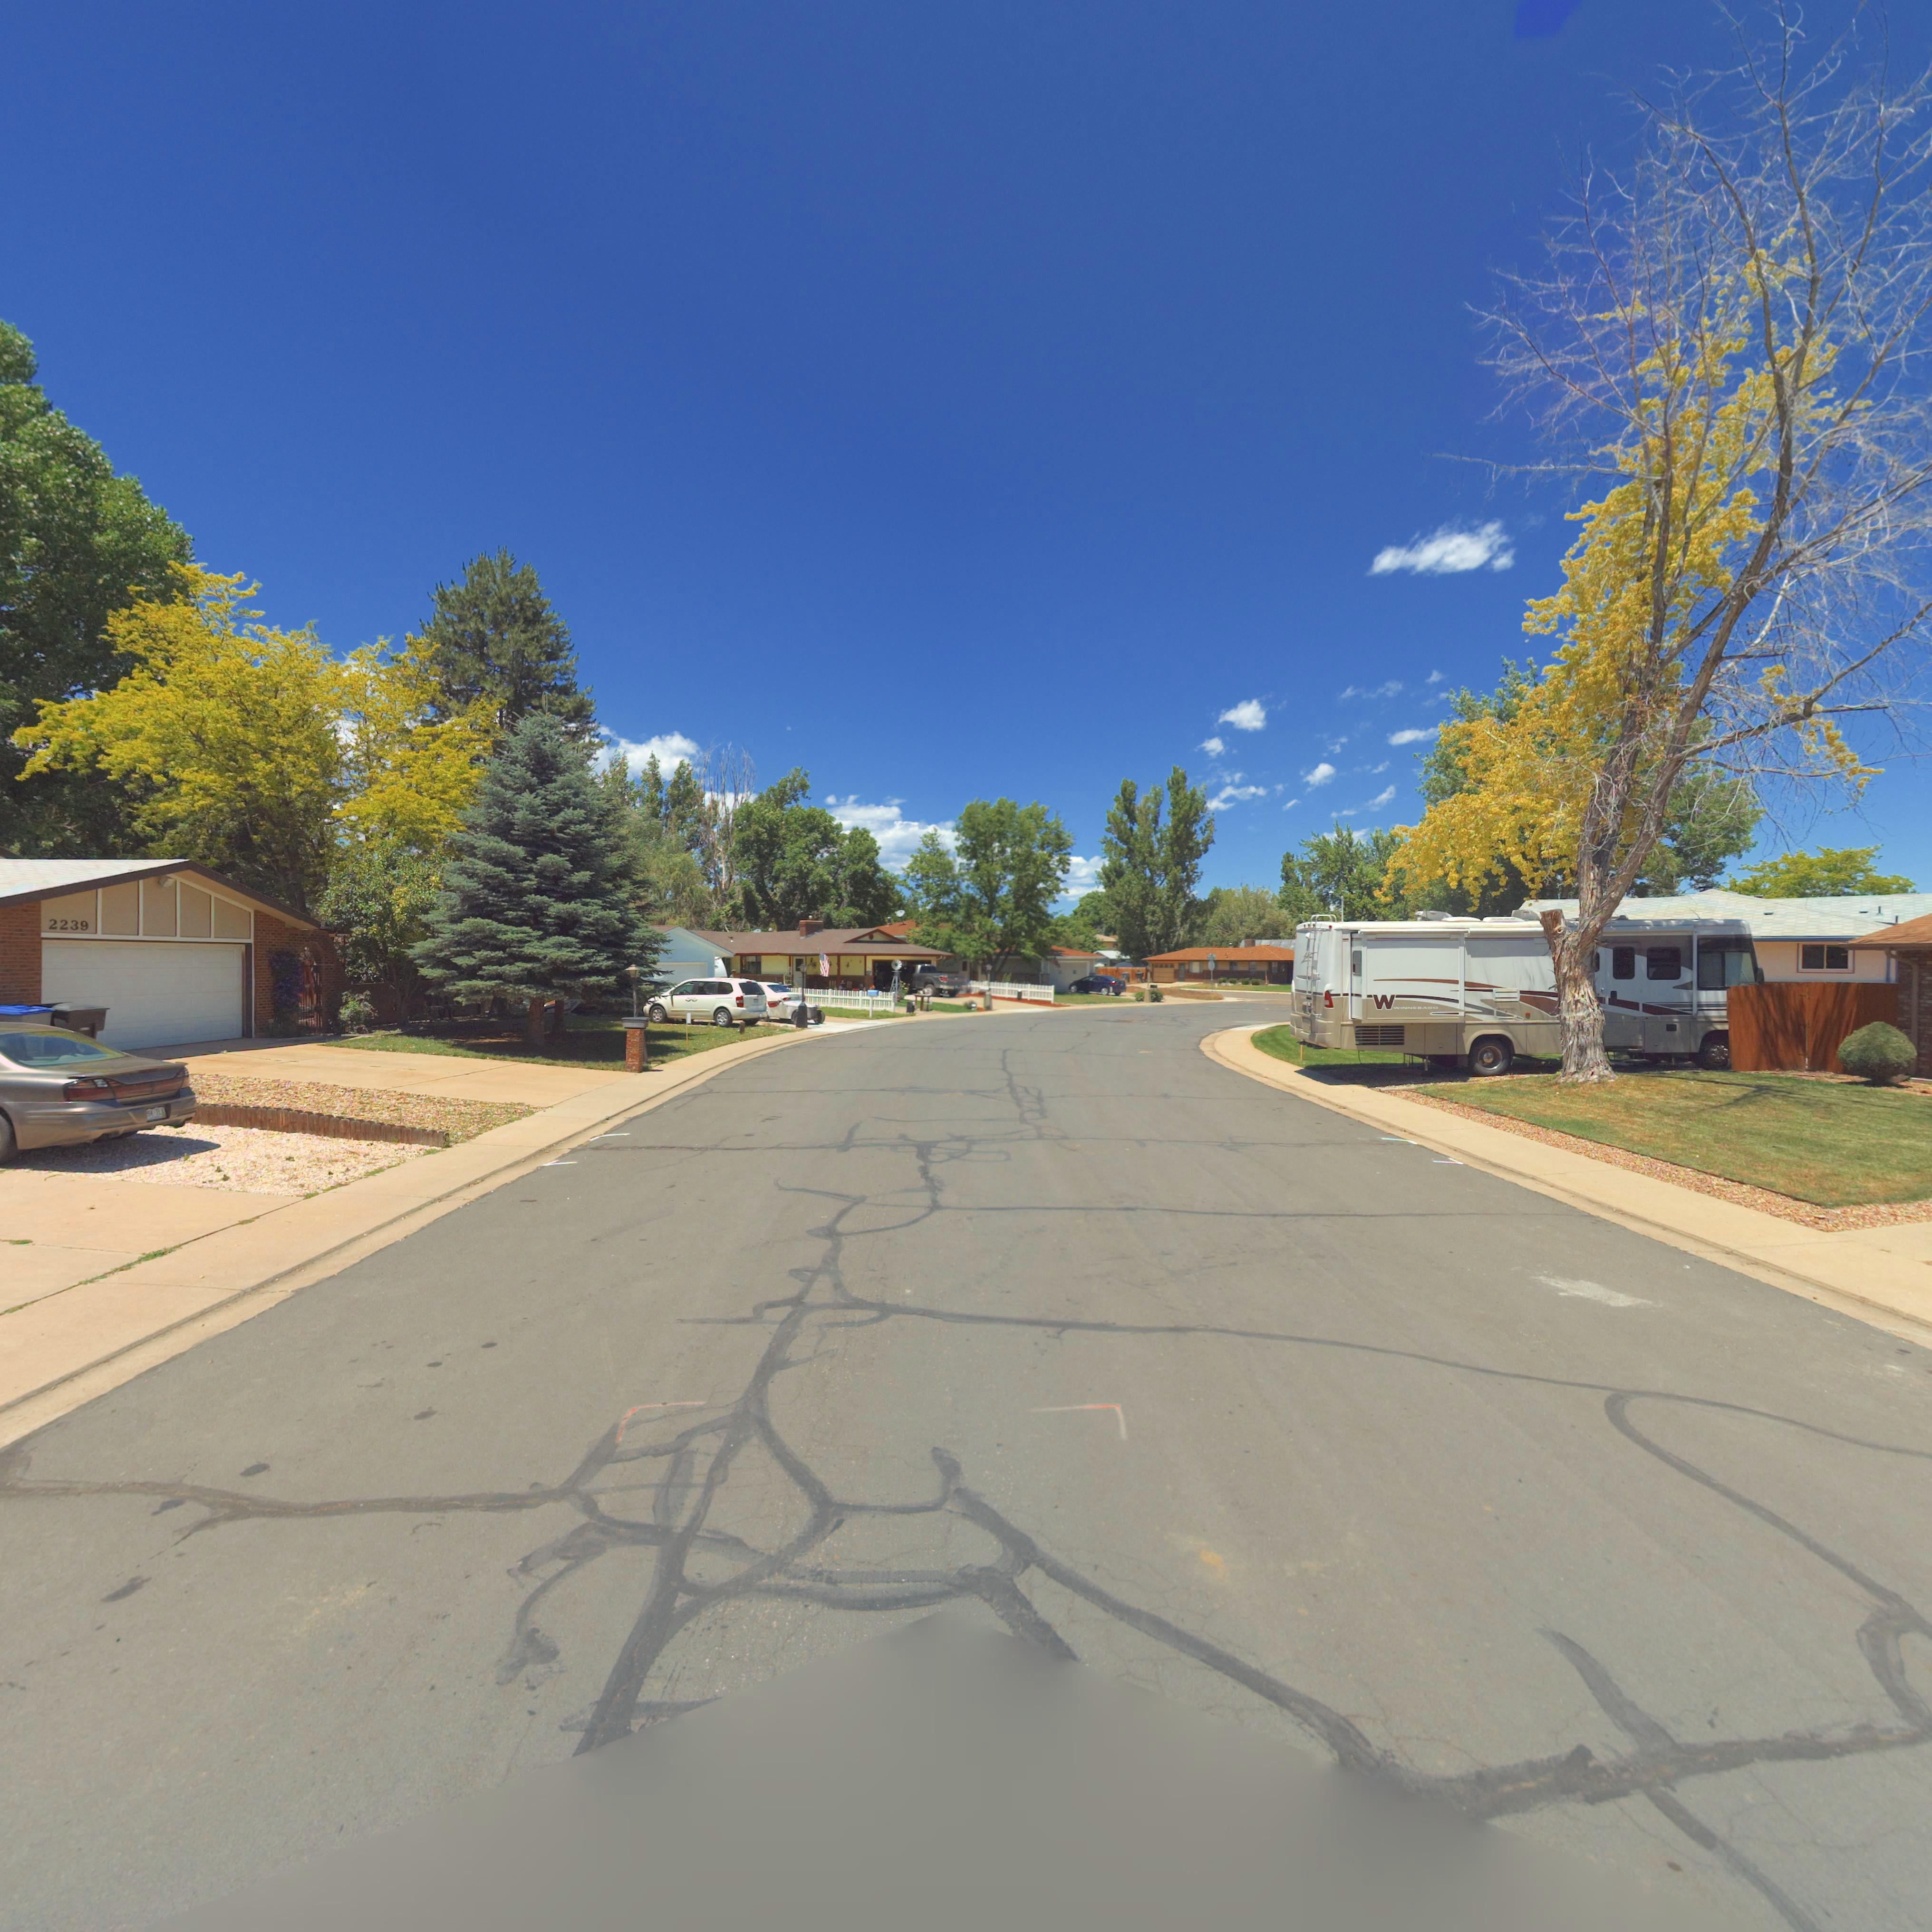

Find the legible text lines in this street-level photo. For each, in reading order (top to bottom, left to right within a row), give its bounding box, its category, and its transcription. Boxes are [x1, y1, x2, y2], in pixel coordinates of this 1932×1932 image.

[48, 918, 89, 931] StreetNumber: 2239